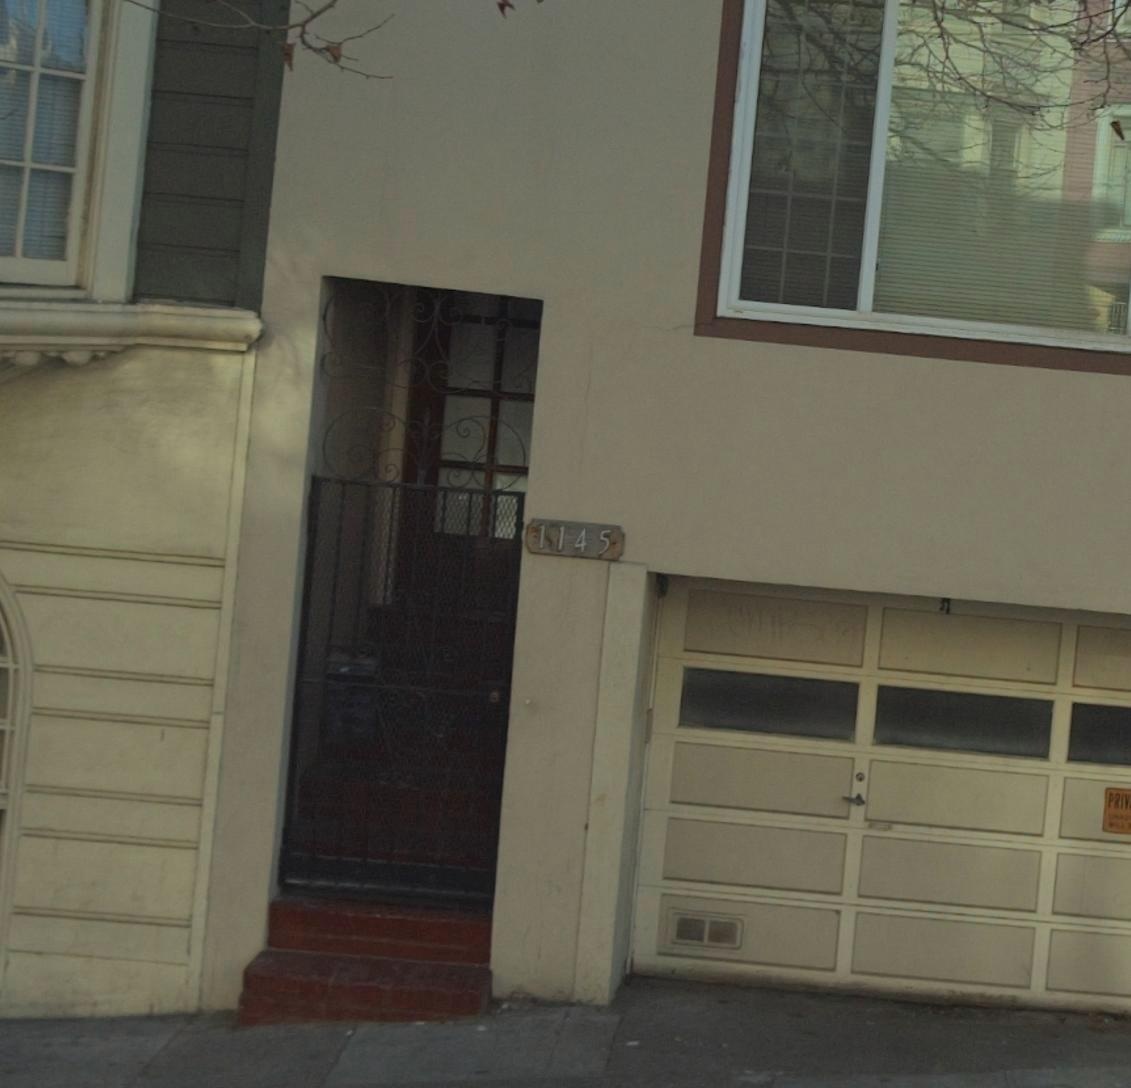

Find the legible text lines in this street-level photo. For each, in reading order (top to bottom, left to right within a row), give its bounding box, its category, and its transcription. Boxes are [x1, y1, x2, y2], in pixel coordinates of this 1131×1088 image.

[534, 521, 615, 559] StreetNumber: 1145
[1107, 790, 1131, 811] None: PRIV